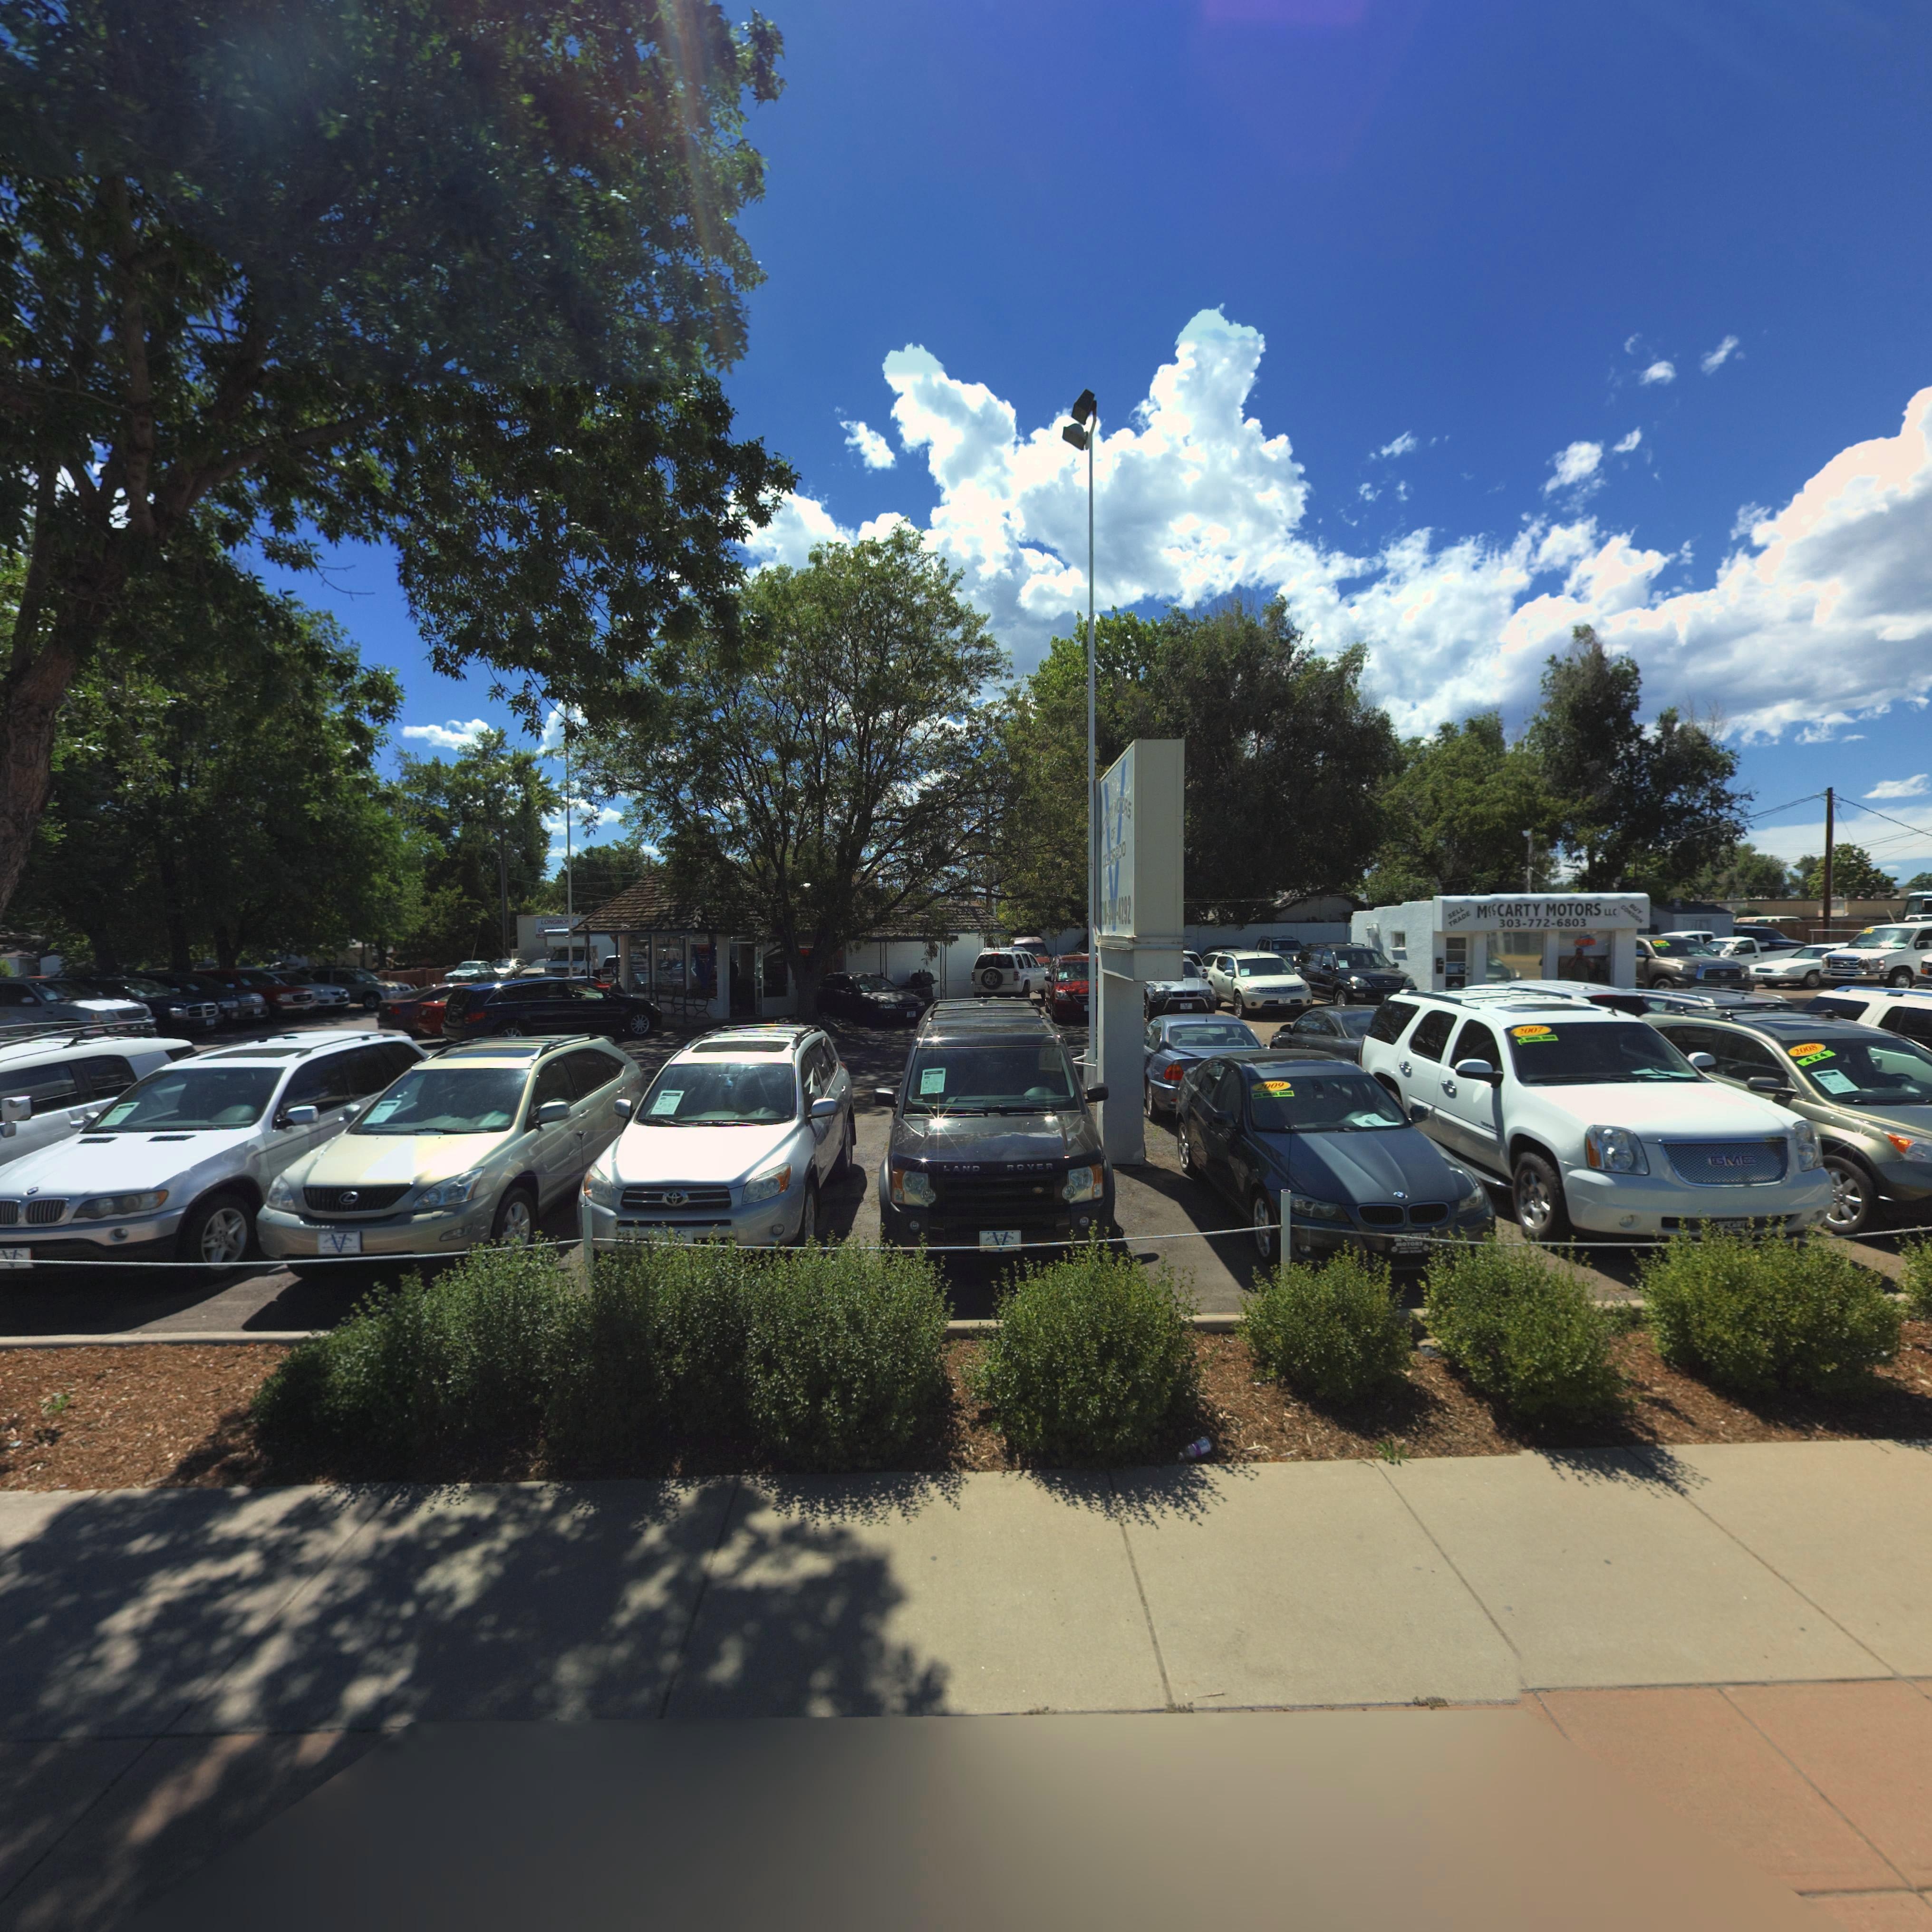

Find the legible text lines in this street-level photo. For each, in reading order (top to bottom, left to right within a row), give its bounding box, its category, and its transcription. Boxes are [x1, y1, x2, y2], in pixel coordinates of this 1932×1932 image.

[1100, 795, 1133, 836] BusinessName: **************RS
[1101, 840, 1127, 869] BusinessName: ****R*DO
[1477, 903, 1600, 918] BusinessName: M*cCARTY MOTORS
[1604, 908, 1616, 916] BusinessName: LLC
[541, 919, 585, 924] BusinessName: LONGMO** T
[538, 927, 567, 932] BusinessName: O******